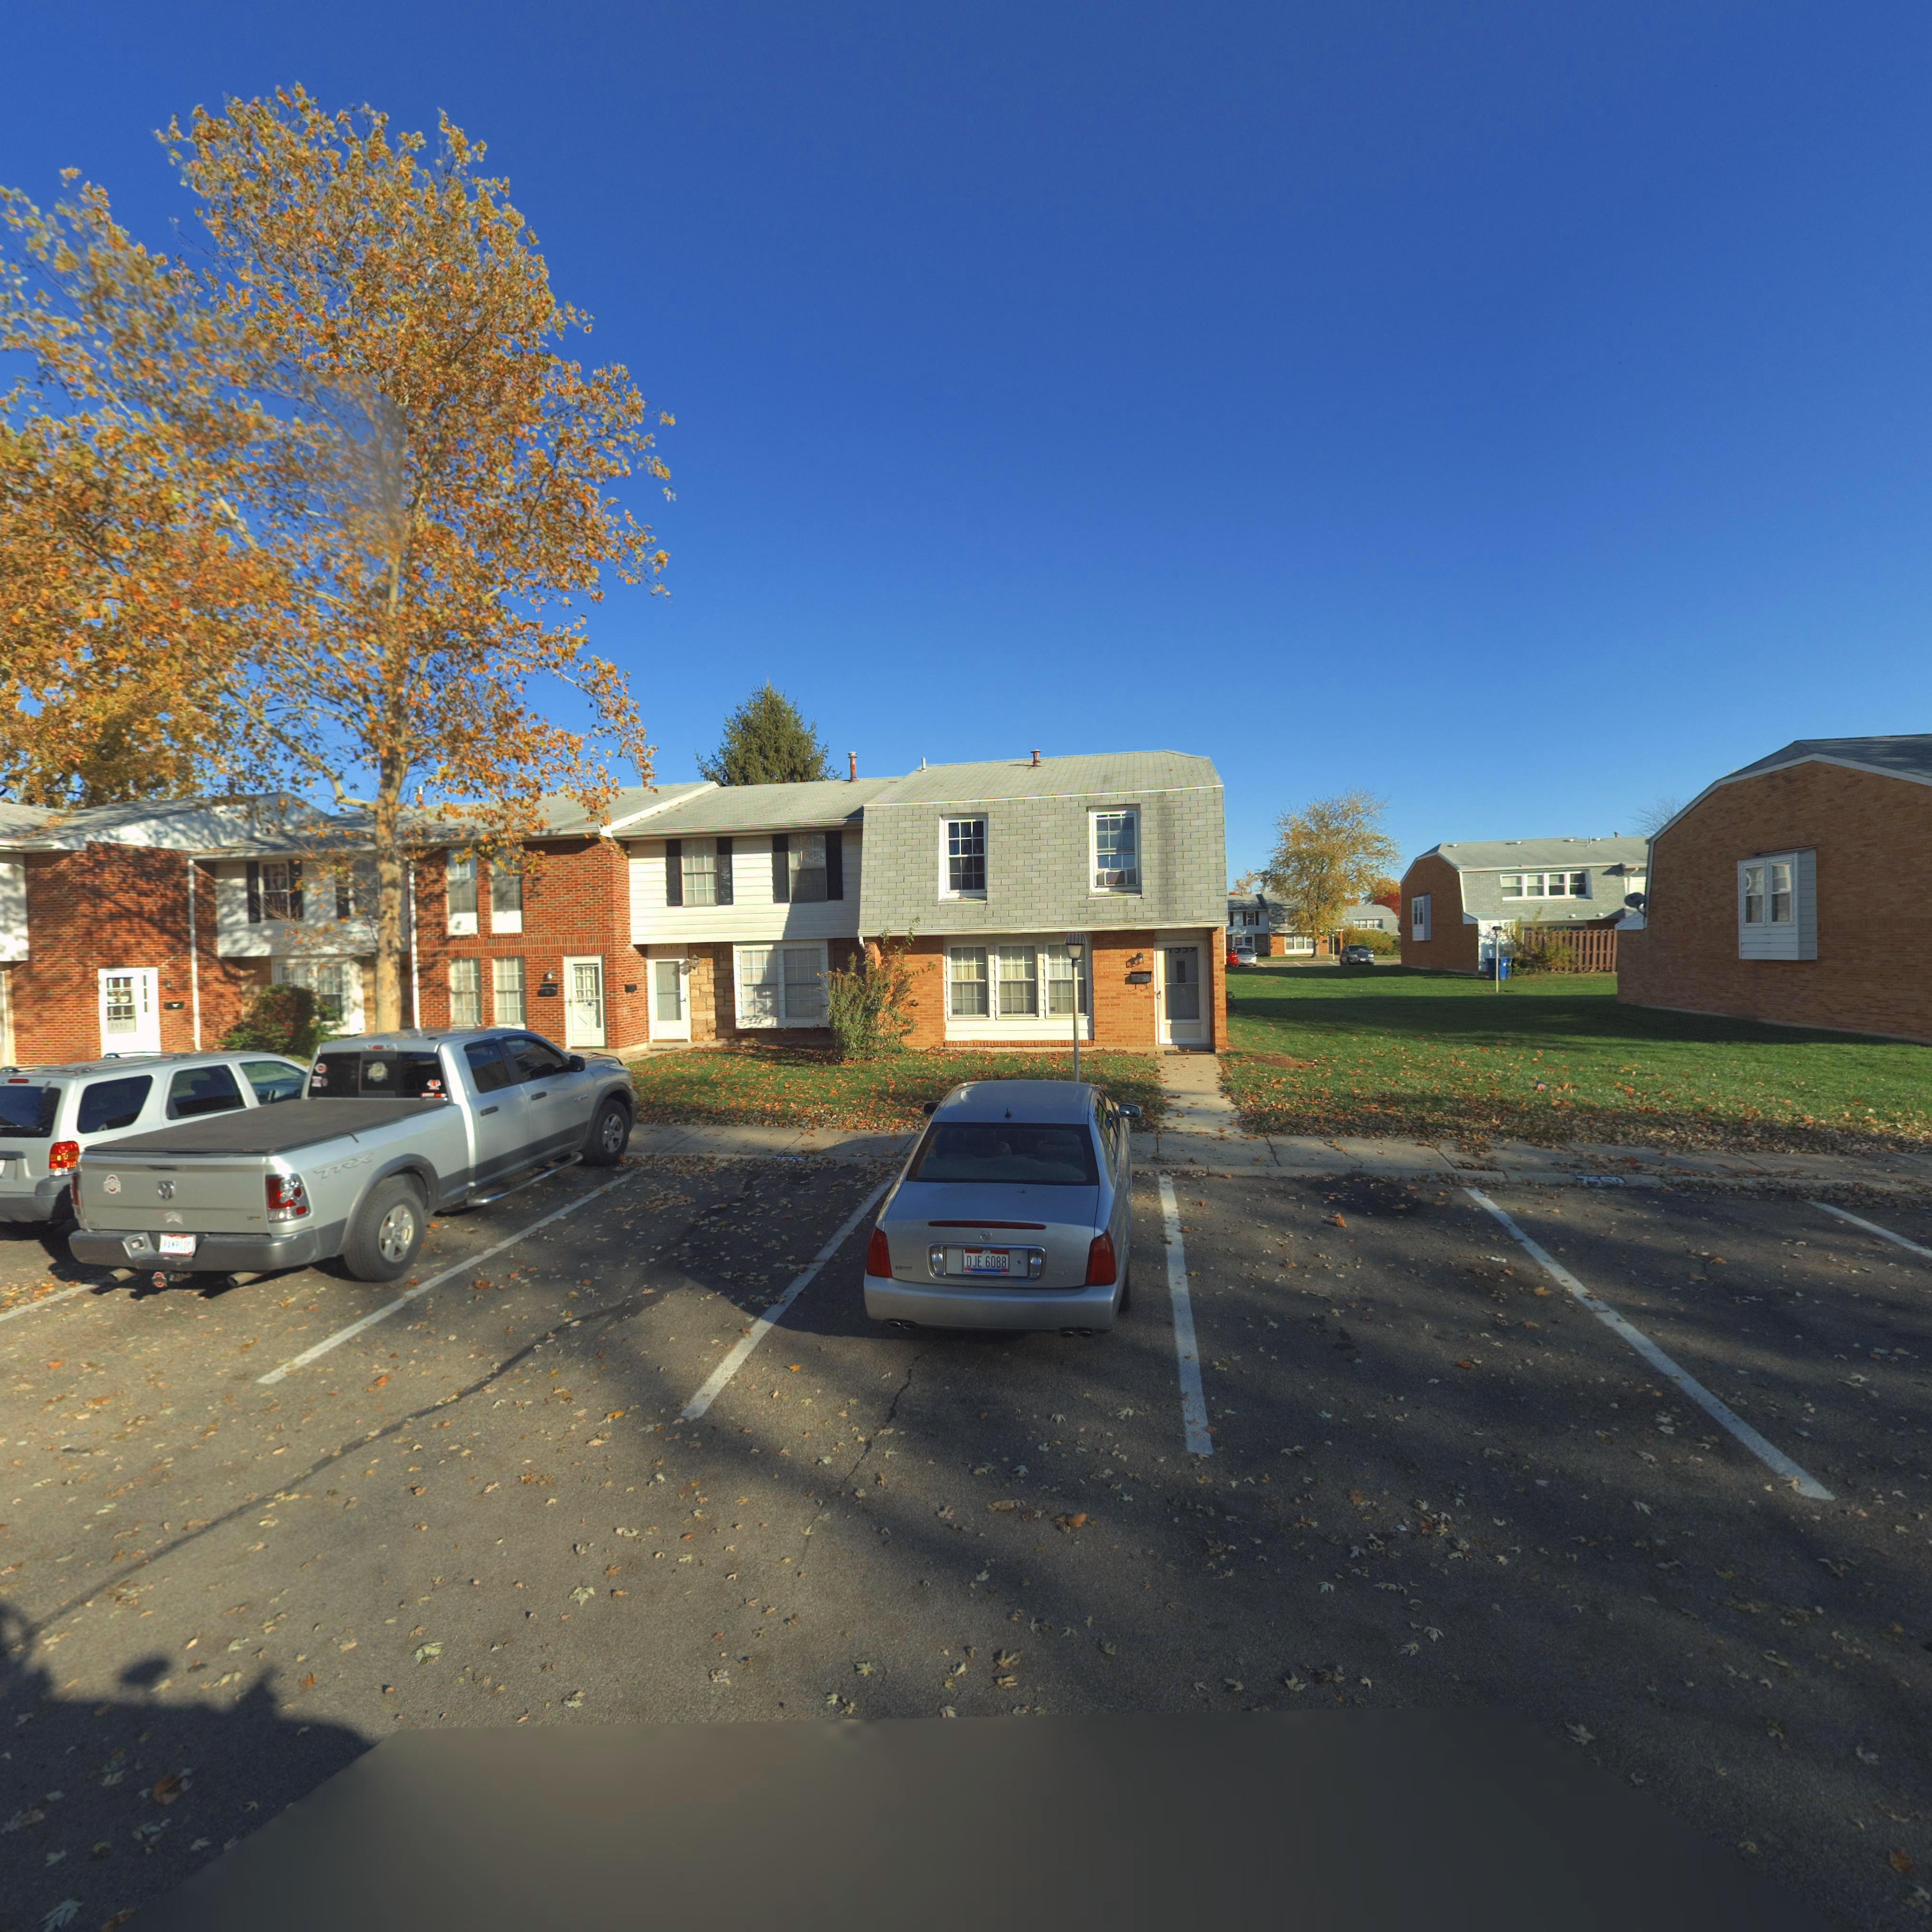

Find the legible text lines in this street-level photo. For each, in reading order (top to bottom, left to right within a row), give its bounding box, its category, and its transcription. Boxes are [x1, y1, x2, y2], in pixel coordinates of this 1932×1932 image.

[656, 945, 679, 951] StreetNumber: 7557
[582, 1004, 596, 1010] StreetNumber: 7555
[772, 1155, 807, 1165] StreetNumber: **55
[1575, 1175, 1626, 1187] StreetNumber: 75**